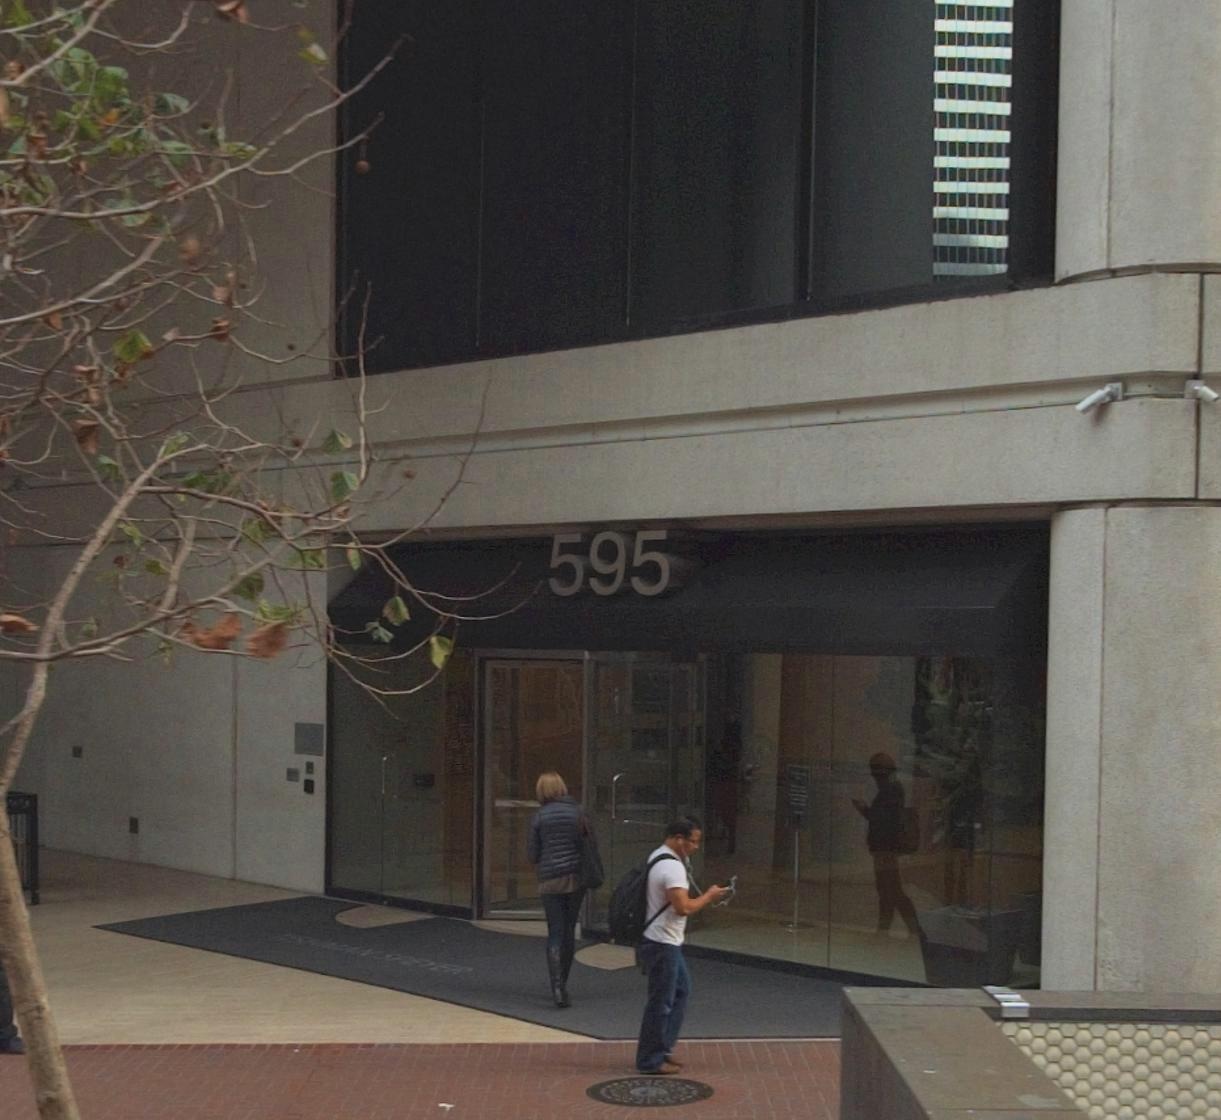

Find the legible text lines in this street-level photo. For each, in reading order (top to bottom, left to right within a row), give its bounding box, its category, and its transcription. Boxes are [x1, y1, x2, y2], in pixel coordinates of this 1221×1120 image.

[546, 527, 672, 599] StreetNumber: 595